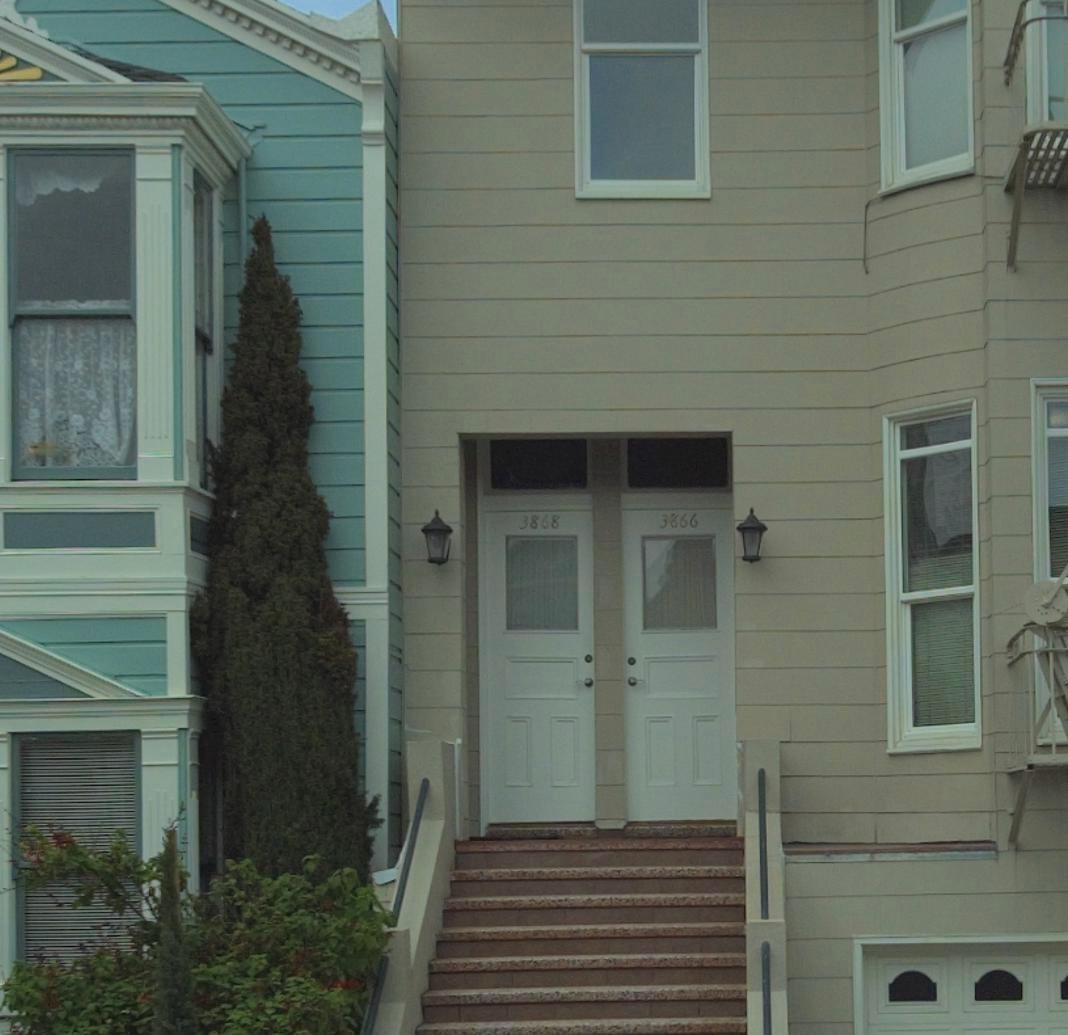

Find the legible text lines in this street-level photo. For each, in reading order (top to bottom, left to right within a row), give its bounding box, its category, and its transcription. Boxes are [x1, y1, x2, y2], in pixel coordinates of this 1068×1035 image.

[518, 513, 562, 532] StreetNumber: 3868
[655, 511, 700, 531] StreetNumber: 3866